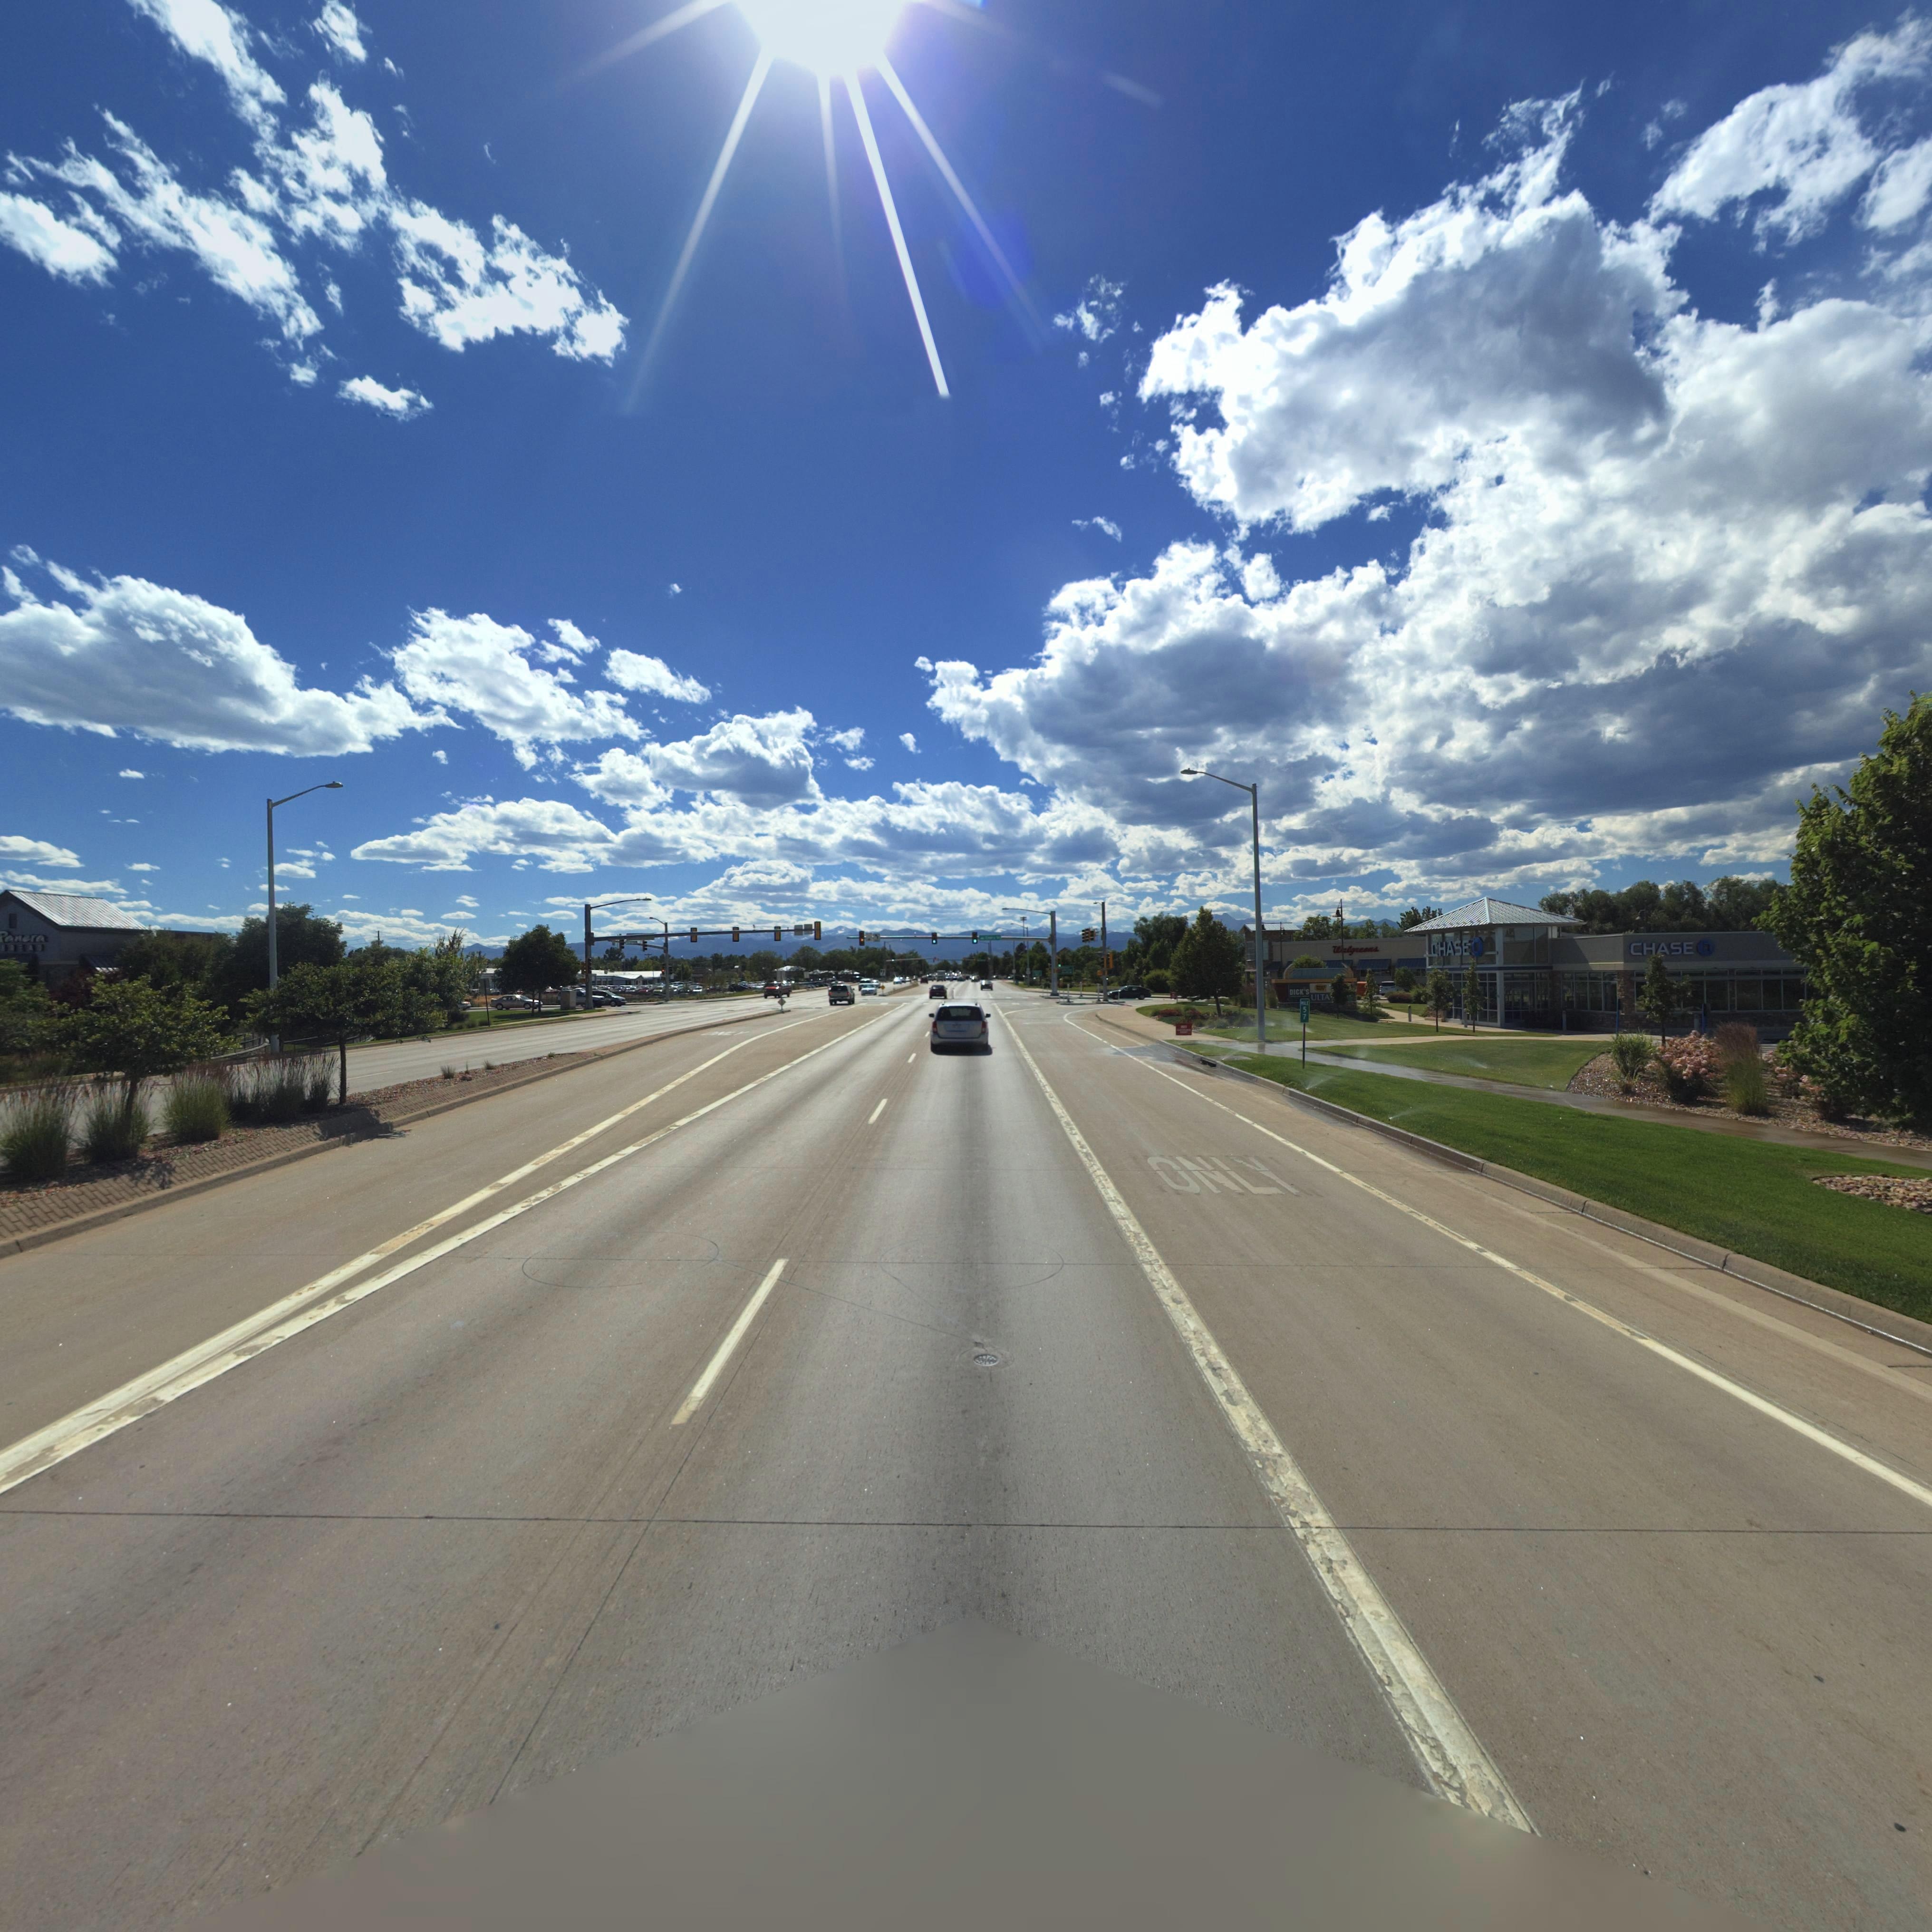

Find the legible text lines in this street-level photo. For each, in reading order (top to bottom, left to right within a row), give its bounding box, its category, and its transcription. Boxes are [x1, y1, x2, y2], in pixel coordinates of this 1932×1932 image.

[3, 934, 45, 943] BusinessName: anera
[985, 935, 1000, 940] StreetName: E**** S*
[8, 943, 43, 952] BusinessName: READ
[1332, 944, 1381, 956] BusinessName: Walgreens
[1430, 938, 1471, 957] BusinessName: CHASE
[1630, 941, 1694, 956] BusinessName: CHASE
[1289, 988, 1310, 995] BusinessName: DICK'S
[1316, 987, 1324, 990] BusinessName: *UY
[1316, 985, 1325, 988] StreetName: **ST
[1310, 993, 1331, 1001] BusinessName: ULTA